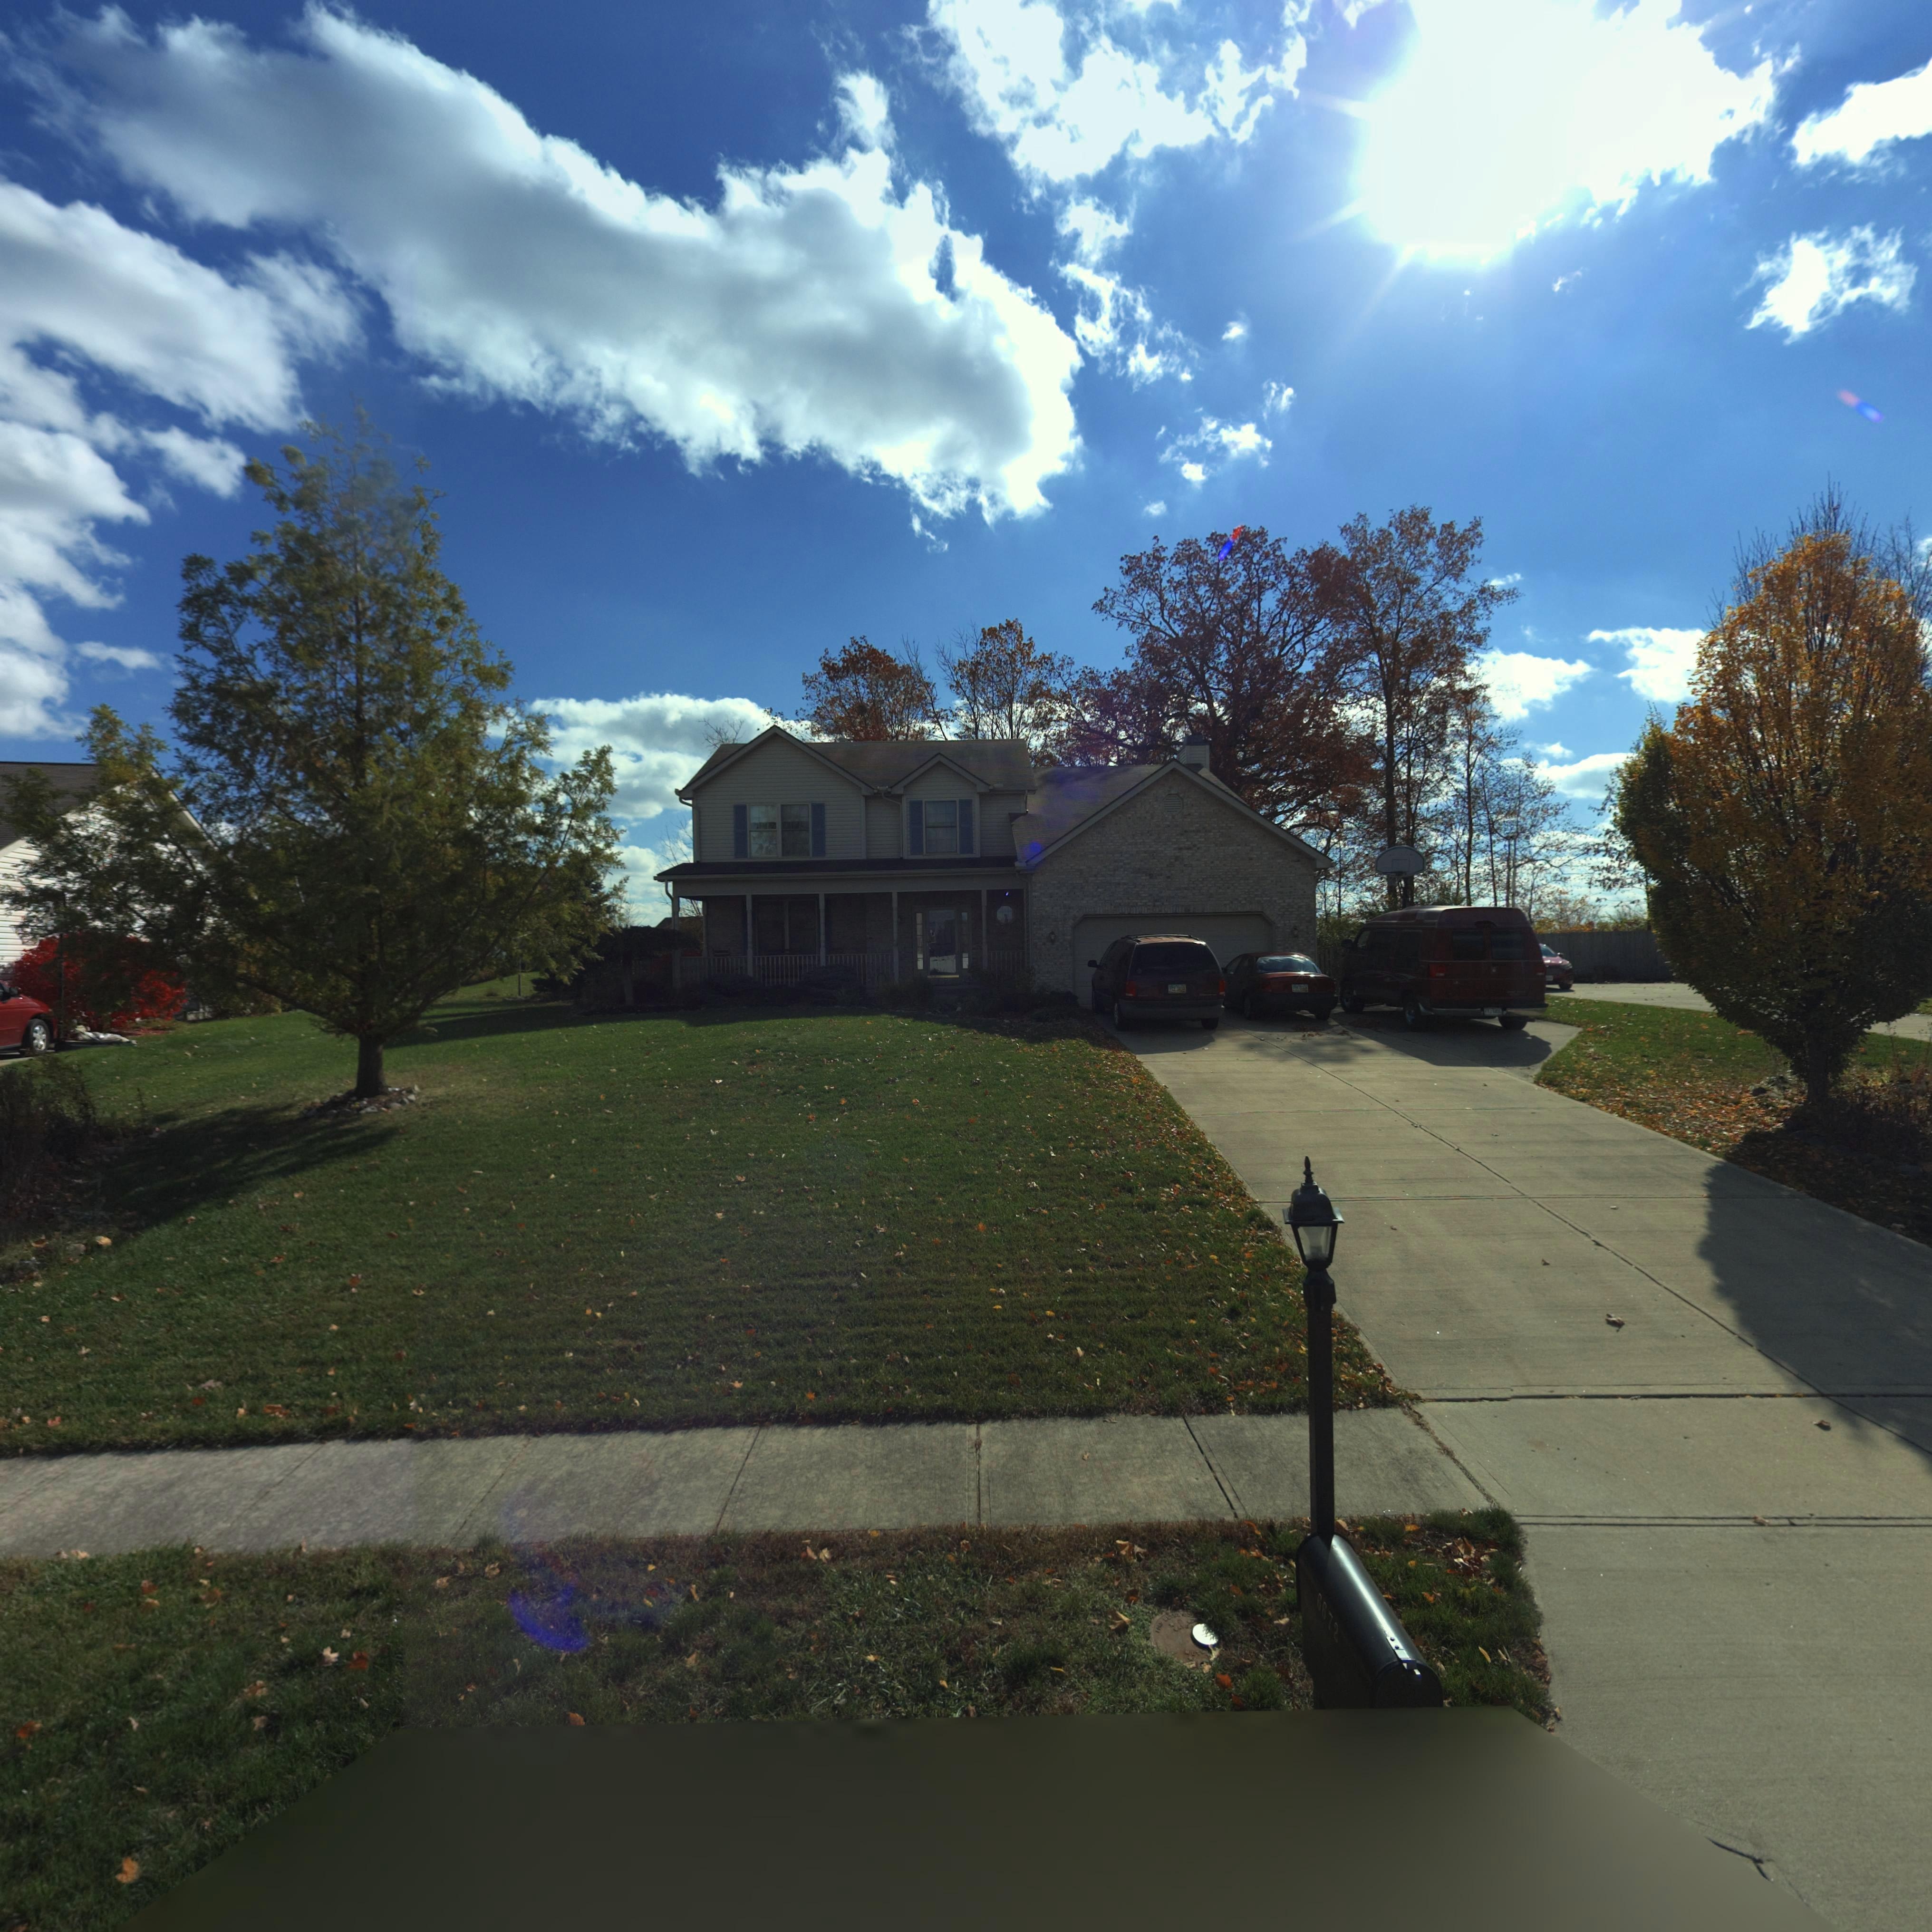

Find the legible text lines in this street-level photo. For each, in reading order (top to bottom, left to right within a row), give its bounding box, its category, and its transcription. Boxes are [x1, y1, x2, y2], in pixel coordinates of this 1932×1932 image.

[1315, 1591, 1340, 1646] StreetNumber: 6672